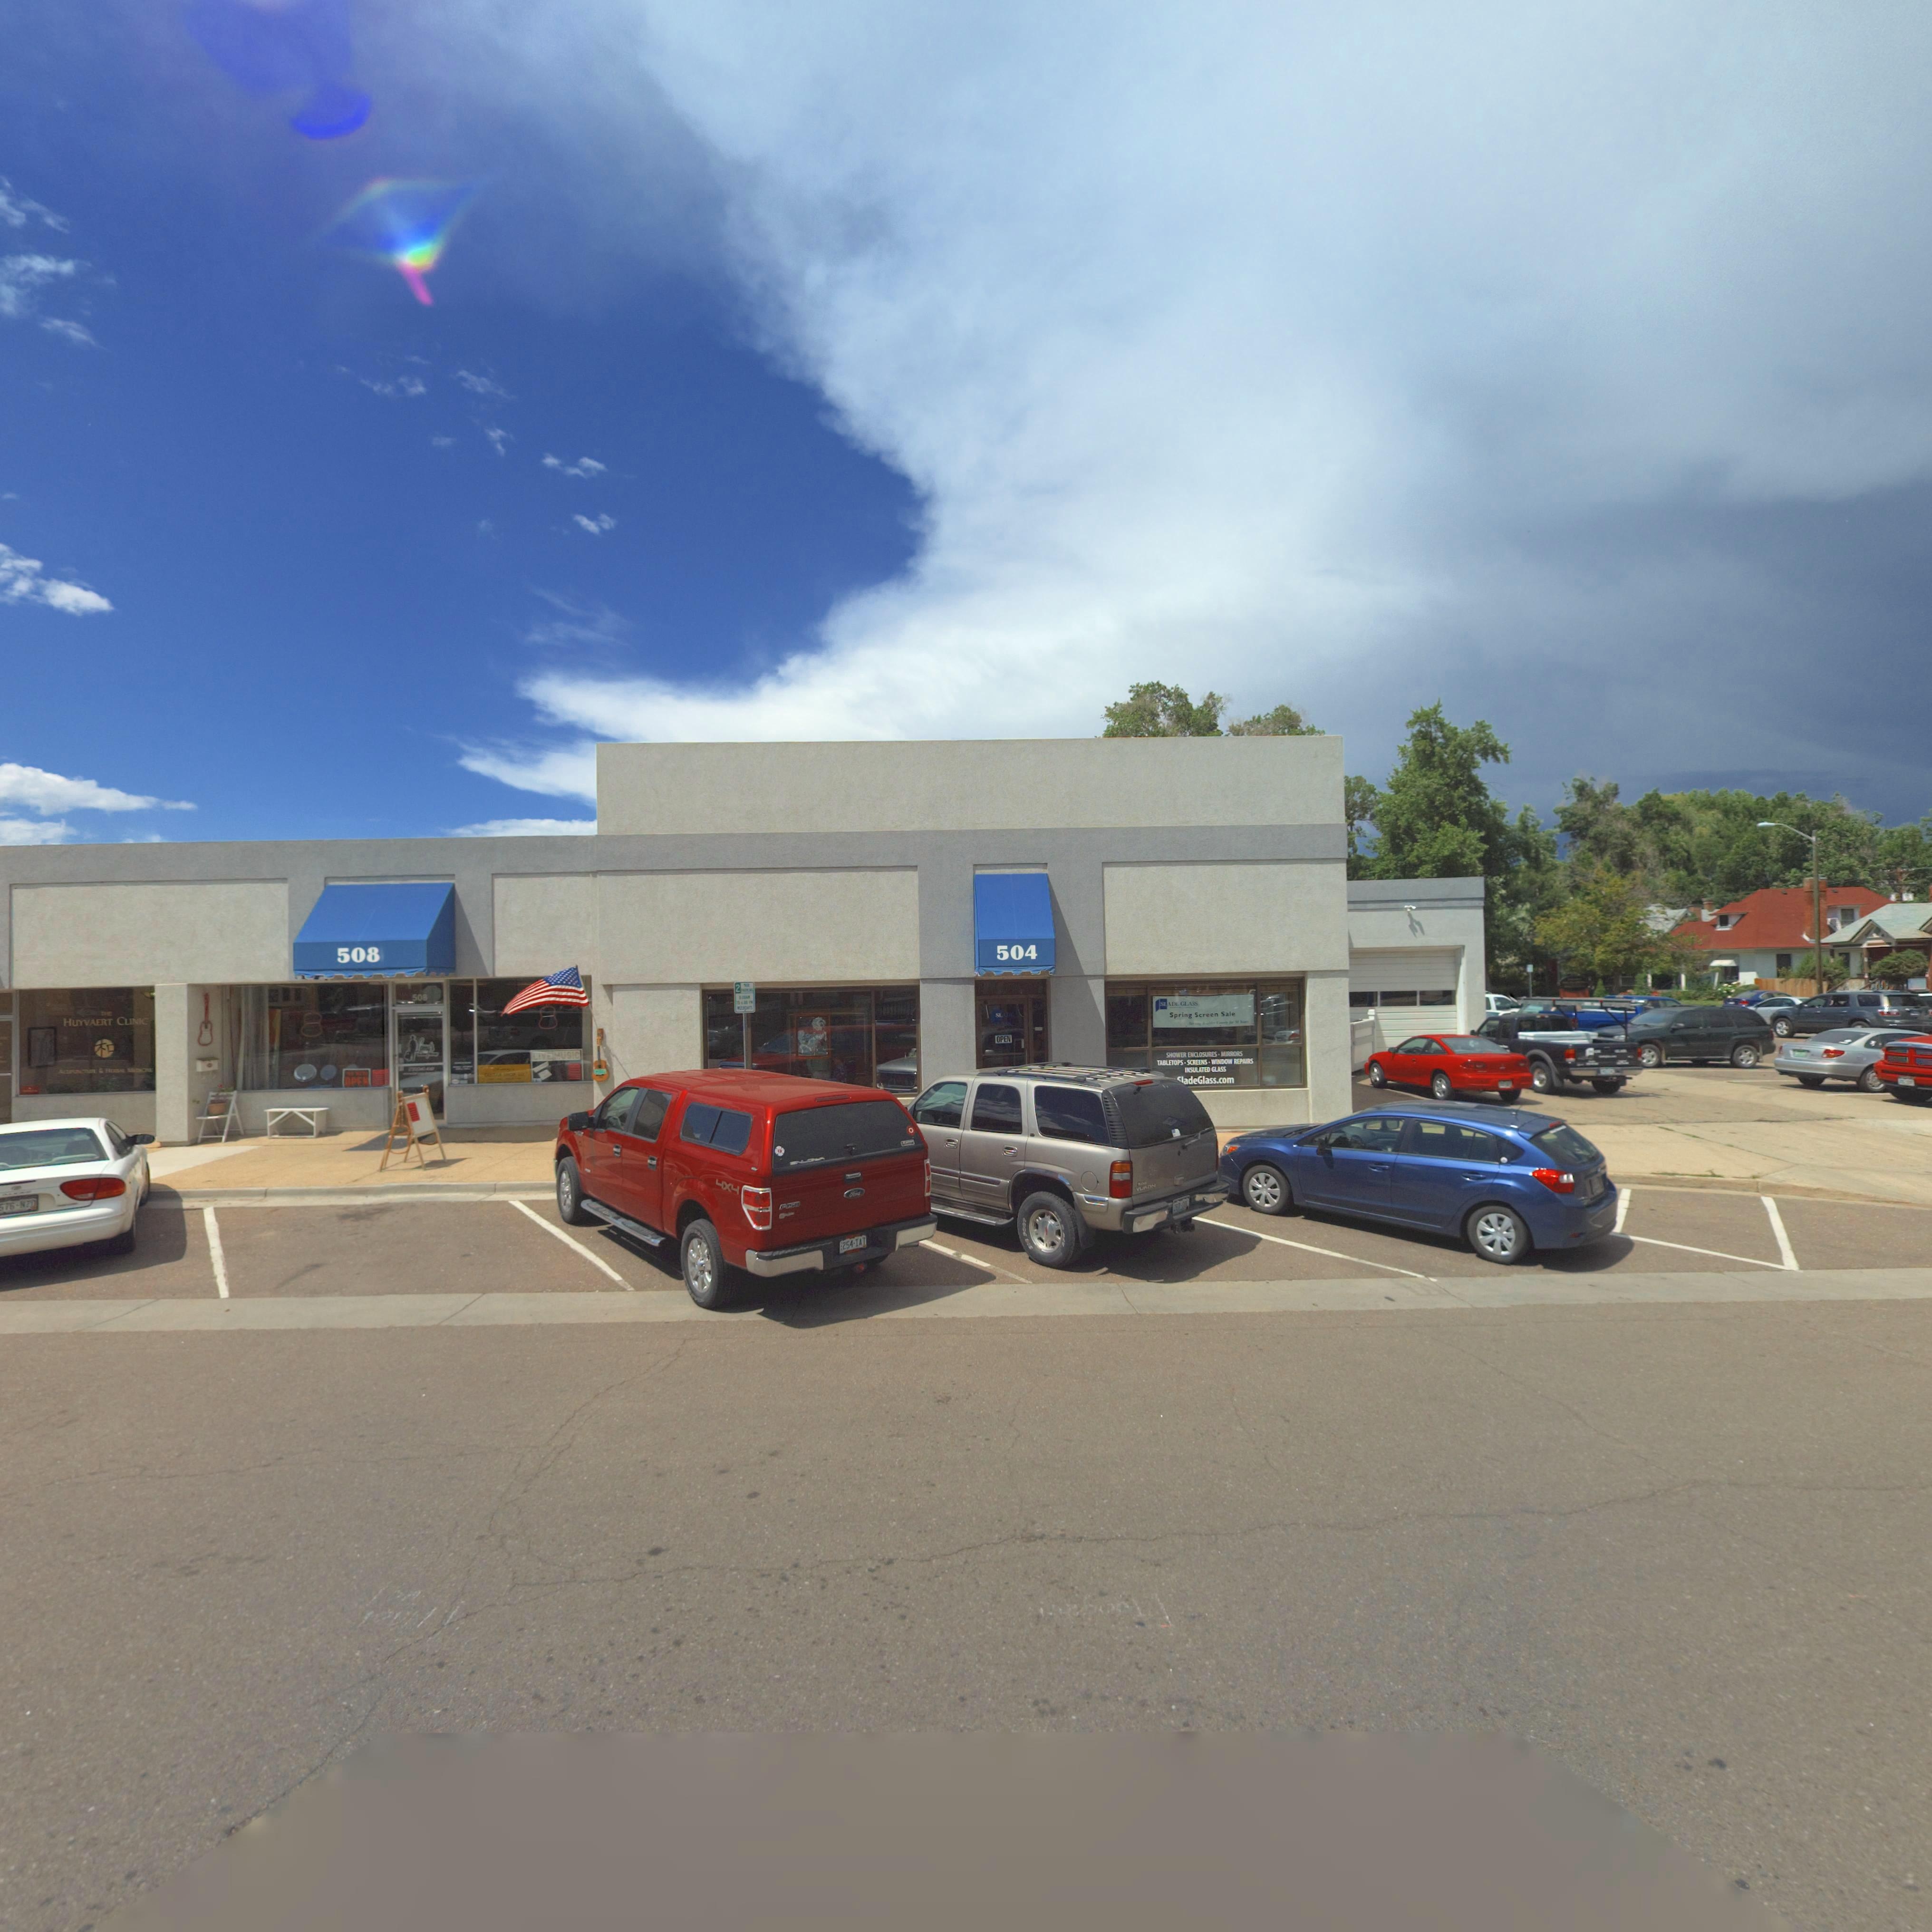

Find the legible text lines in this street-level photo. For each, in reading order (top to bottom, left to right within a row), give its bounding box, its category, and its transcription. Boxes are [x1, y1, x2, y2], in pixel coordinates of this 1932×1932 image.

[337, 946, 380, 964] StreetNumber: 508
[996, 944, 1038, 960] StreetNumber: 504
[412, 993, 427, 1002] StreetNumber: 508
[1159, 1001, 1198, 1006] BusinessName: SLADE GLASS
[100, 1010, 113, 1016] BusinessName: THE
[995, 1012, 1003, 1017] BusinessName: SL
[62, 1015, 149, 1027] BusinessName: HUYVAERT CLINIC